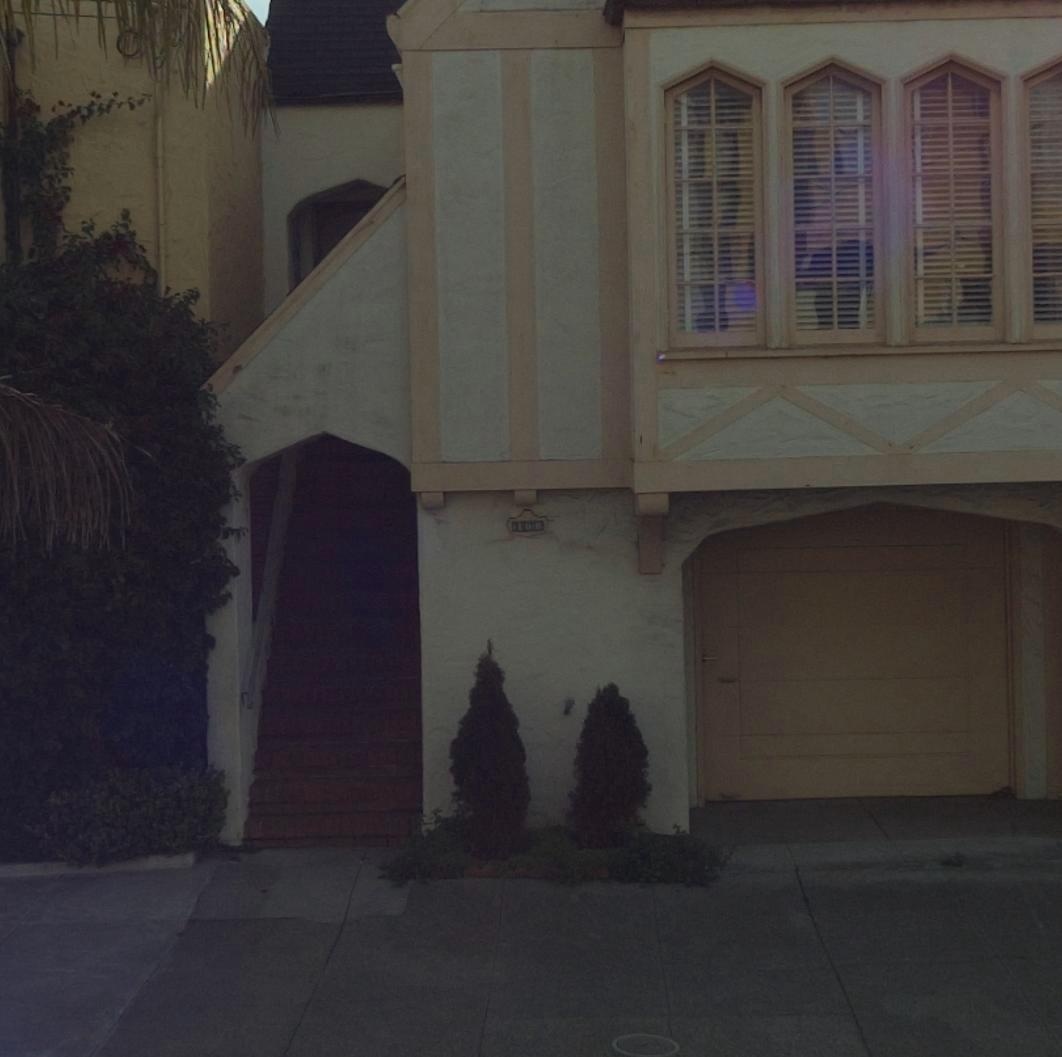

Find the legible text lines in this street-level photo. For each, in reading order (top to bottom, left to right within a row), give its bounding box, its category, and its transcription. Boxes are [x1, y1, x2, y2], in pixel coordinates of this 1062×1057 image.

[515, 519, 544, 533] StreetNumber: 160